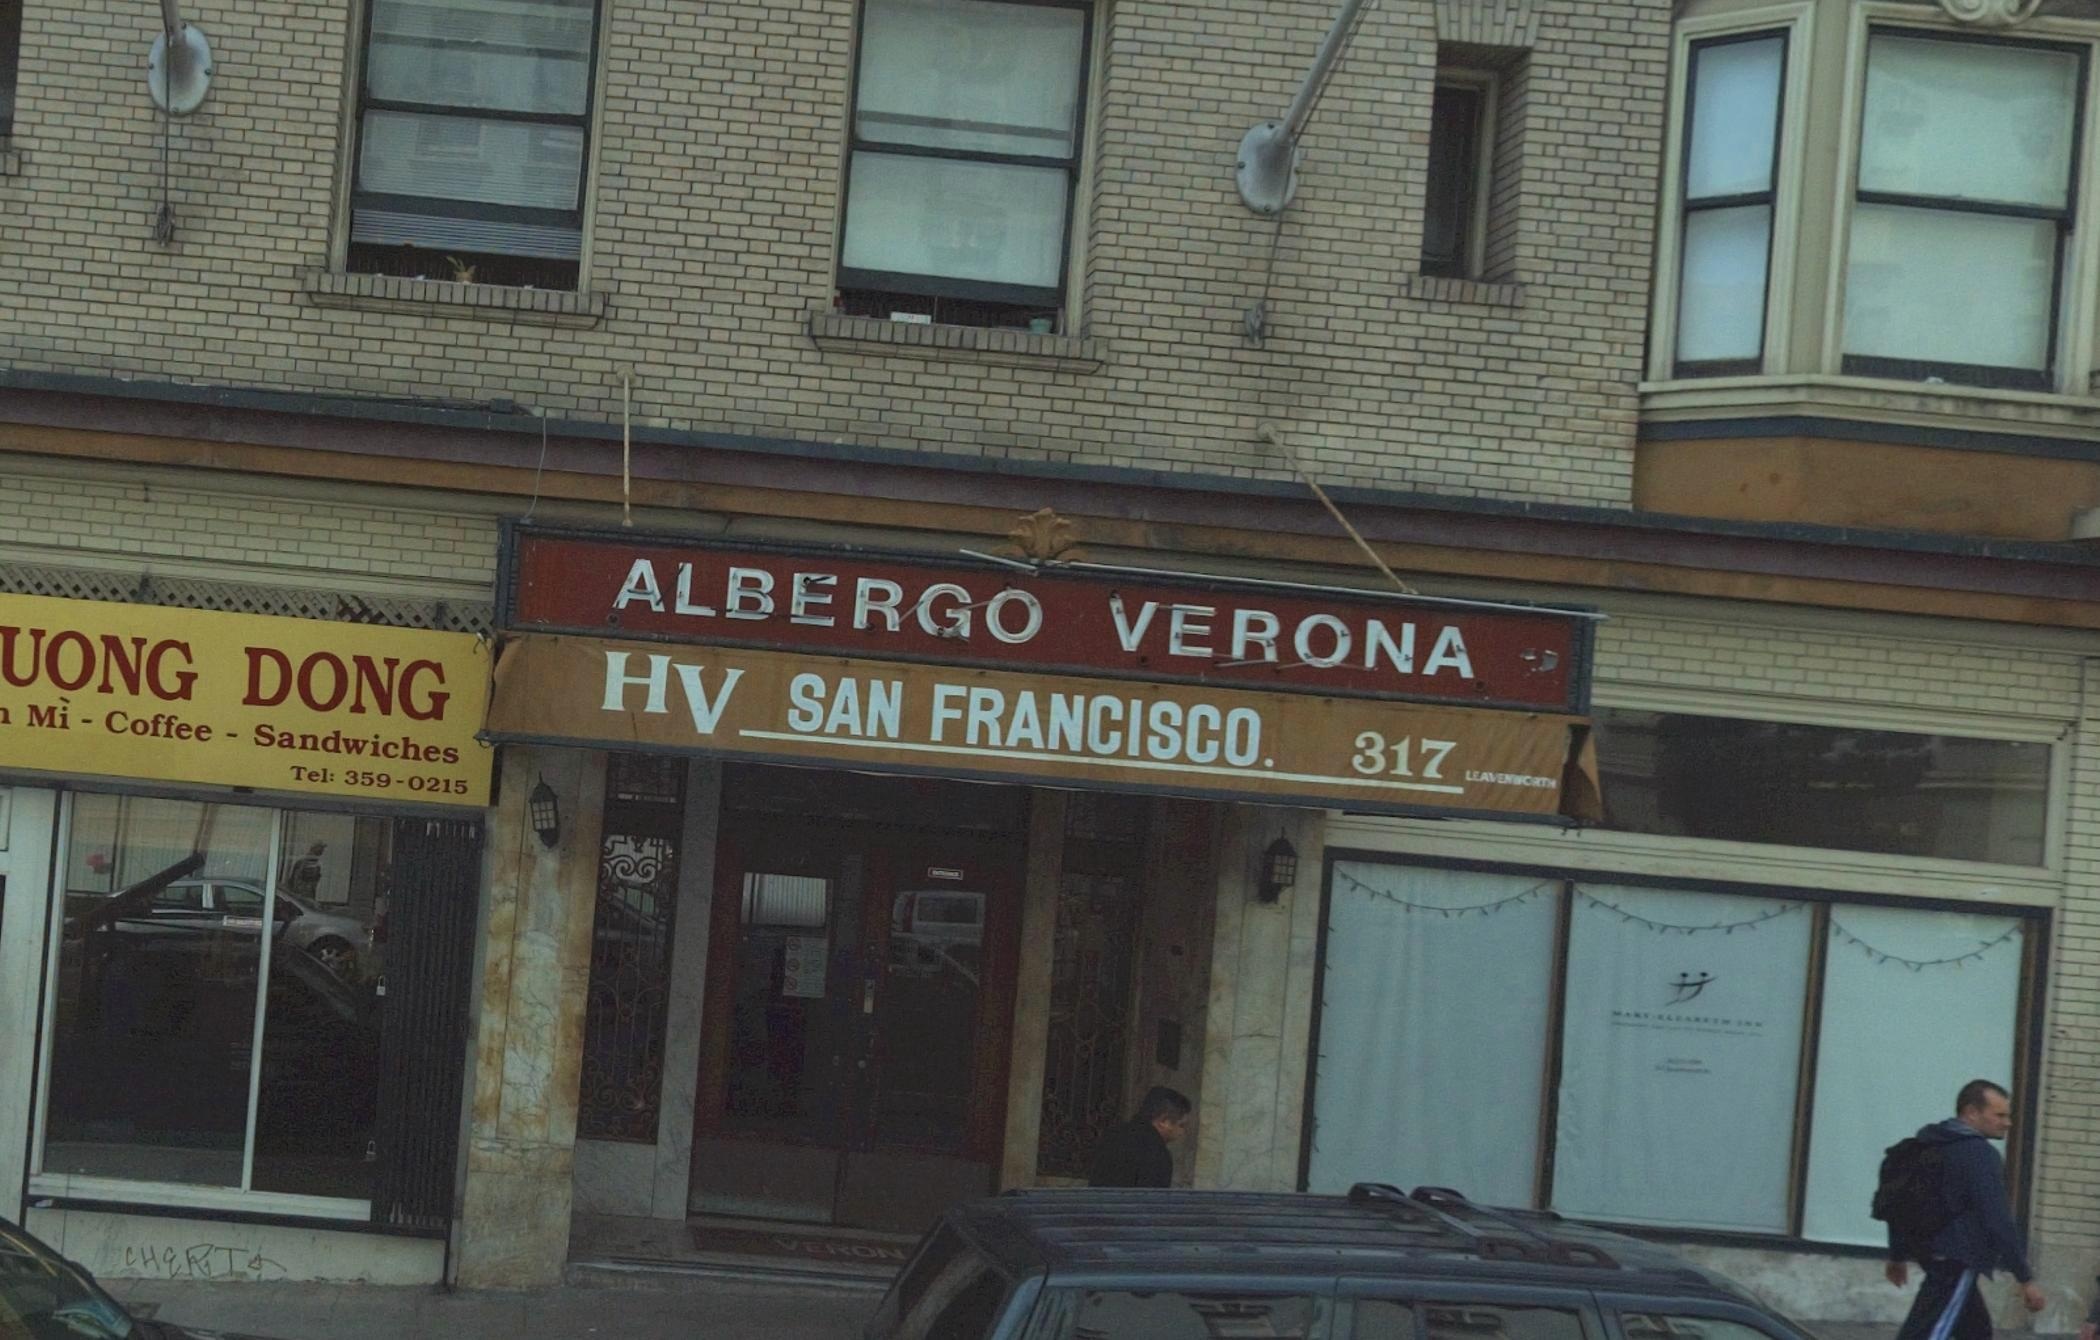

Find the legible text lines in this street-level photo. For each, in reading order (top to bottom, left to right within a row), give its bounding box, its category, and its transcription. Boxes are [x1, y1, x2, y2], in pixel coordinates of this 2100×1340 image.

[604, 554, 1482, 686] BusinessName: ALBERGO VERONA
[0, 622, 455, 725] BusinessName: UONG DONG
[23, 701, 464, 766] None: Mi - Coffee - Sandwiches
[287, 762, 472, 799] None: Tel: 359-0215
[594, 643, 753, 742] None: HV
[783, 669, 1281, 773] None: SAN FRANCISCO.
[1348, 728, 1462, 783] StreetNumber: 317
[1462, 766, 1560, 792] StreetName: LEAVEN**RTH
[121, 1240, 253, 1282] None: CHERT